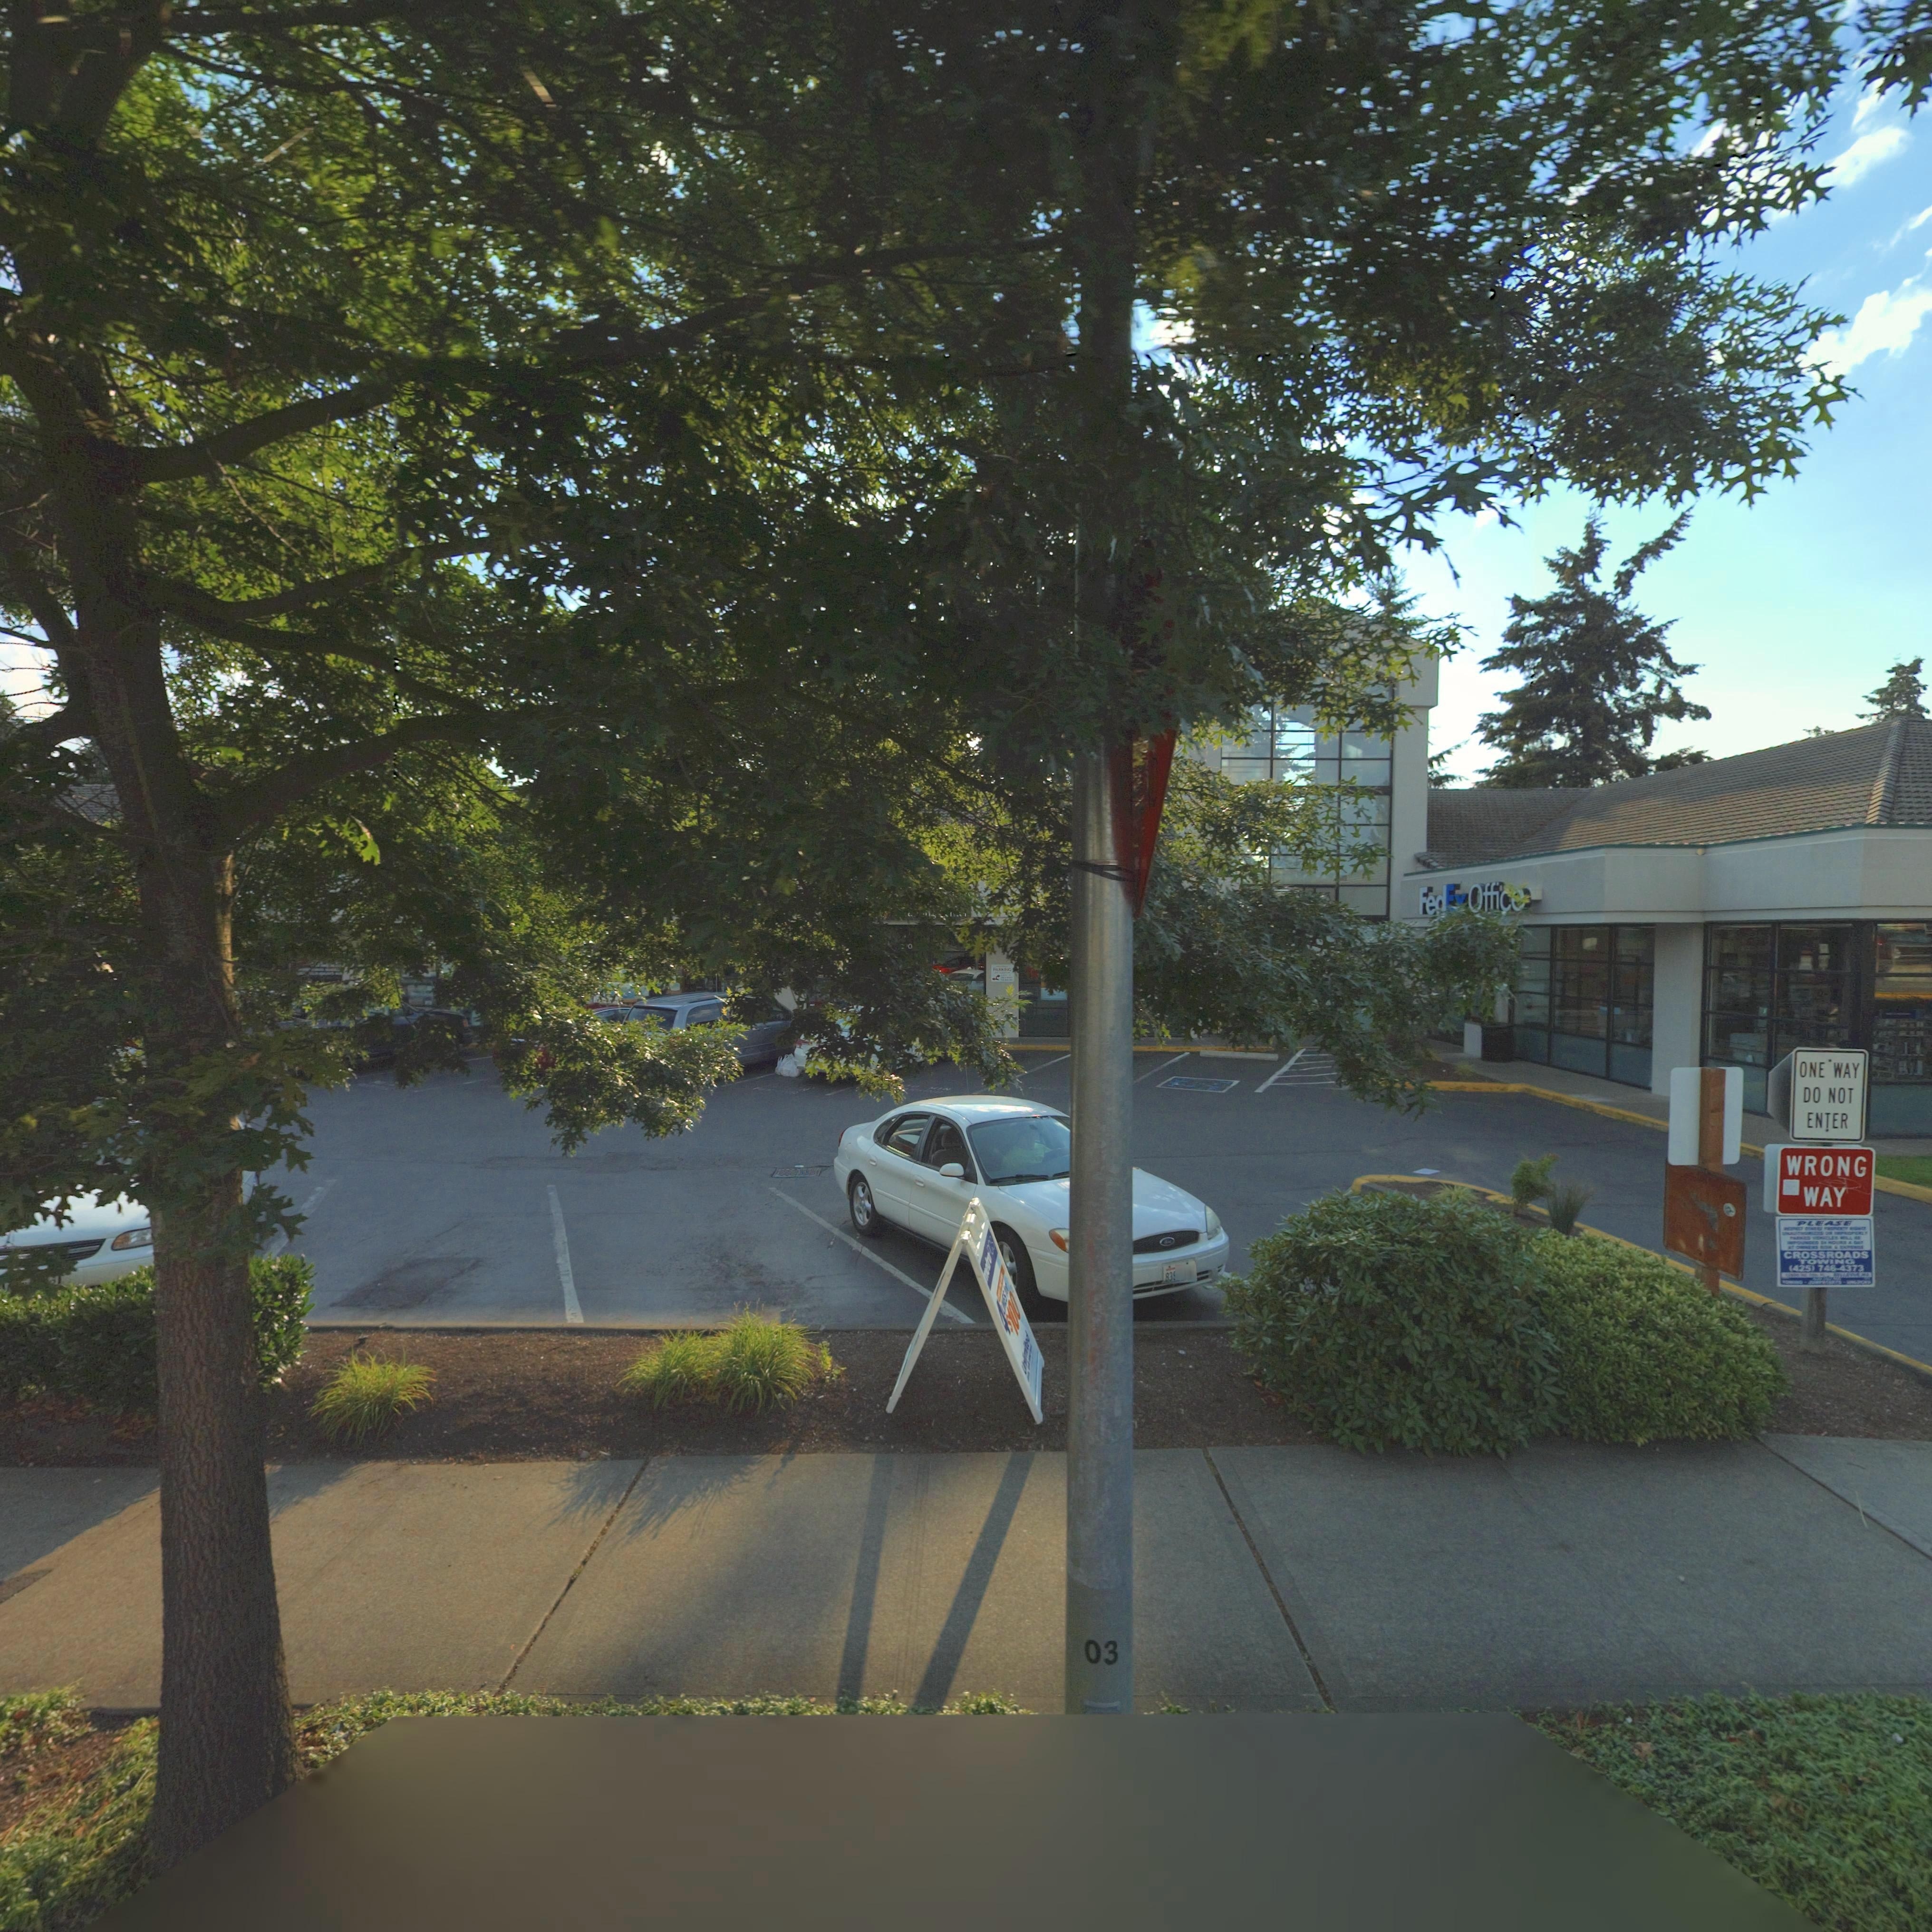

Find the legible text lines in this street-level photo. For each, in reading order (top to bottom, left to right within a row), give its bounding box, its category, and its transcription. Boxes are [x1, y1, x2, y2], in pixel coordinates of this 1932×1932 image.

[1418, 884, 1447, 915] BusinessName: Fe*
[1468, 881, 1500, 913] BusinessName: *ffi